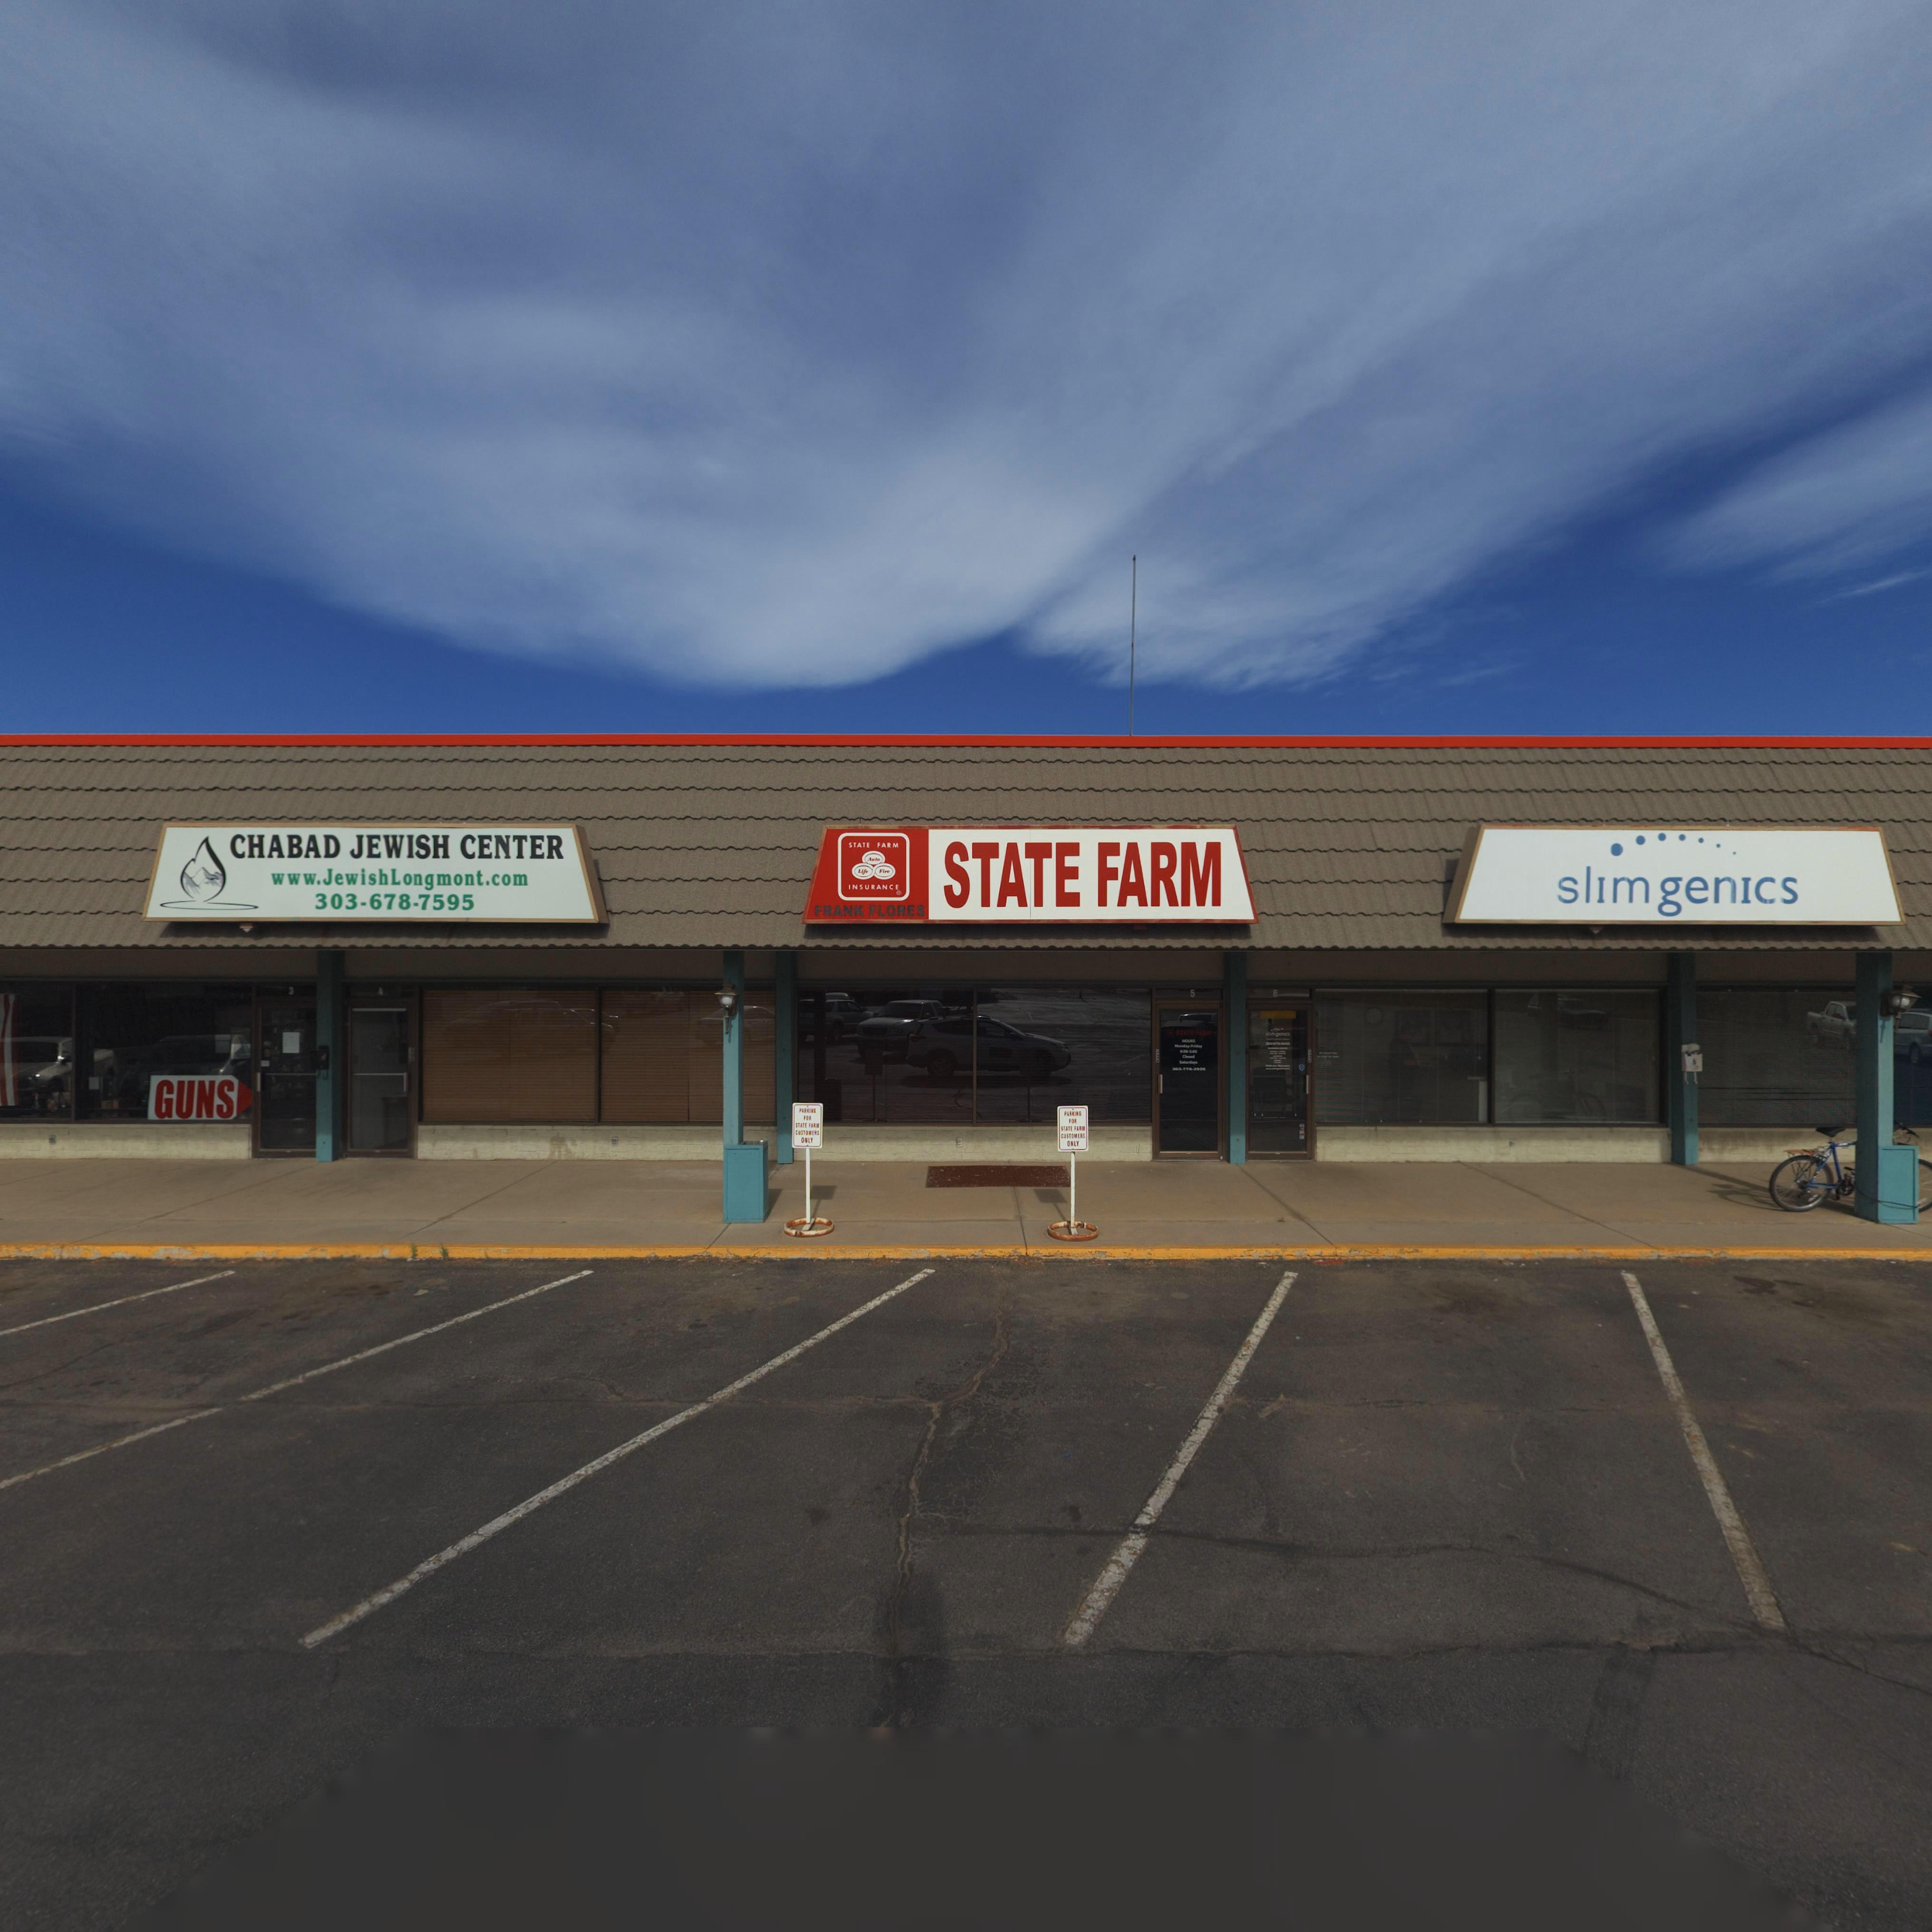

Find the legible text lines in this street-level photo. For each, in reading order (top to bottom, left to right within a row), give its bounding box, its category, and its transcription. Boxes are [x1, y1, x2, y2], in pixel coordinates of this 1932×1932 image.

[227, 833, 566, 860] BusinessName: CHABAD JEWISH CENTER
[848, 841, 899, 849] BusinessName: STATE FARM
[939, 840, 1223, 909] BusinessName: STATE FARM
[848, 883, 899, 890] BusinessName: INSURANCE
[1555, 863, 1800, 918] BusinessName: slimgenics
[288, 985, 294, 995] StreetNumber: 3
[377, 986, 383, 996] StreetNumber: 4
[1190, 989, 1195, 997] StreetNumber: 5
[1273, 989, 1277, 997] StreetNumber: 6